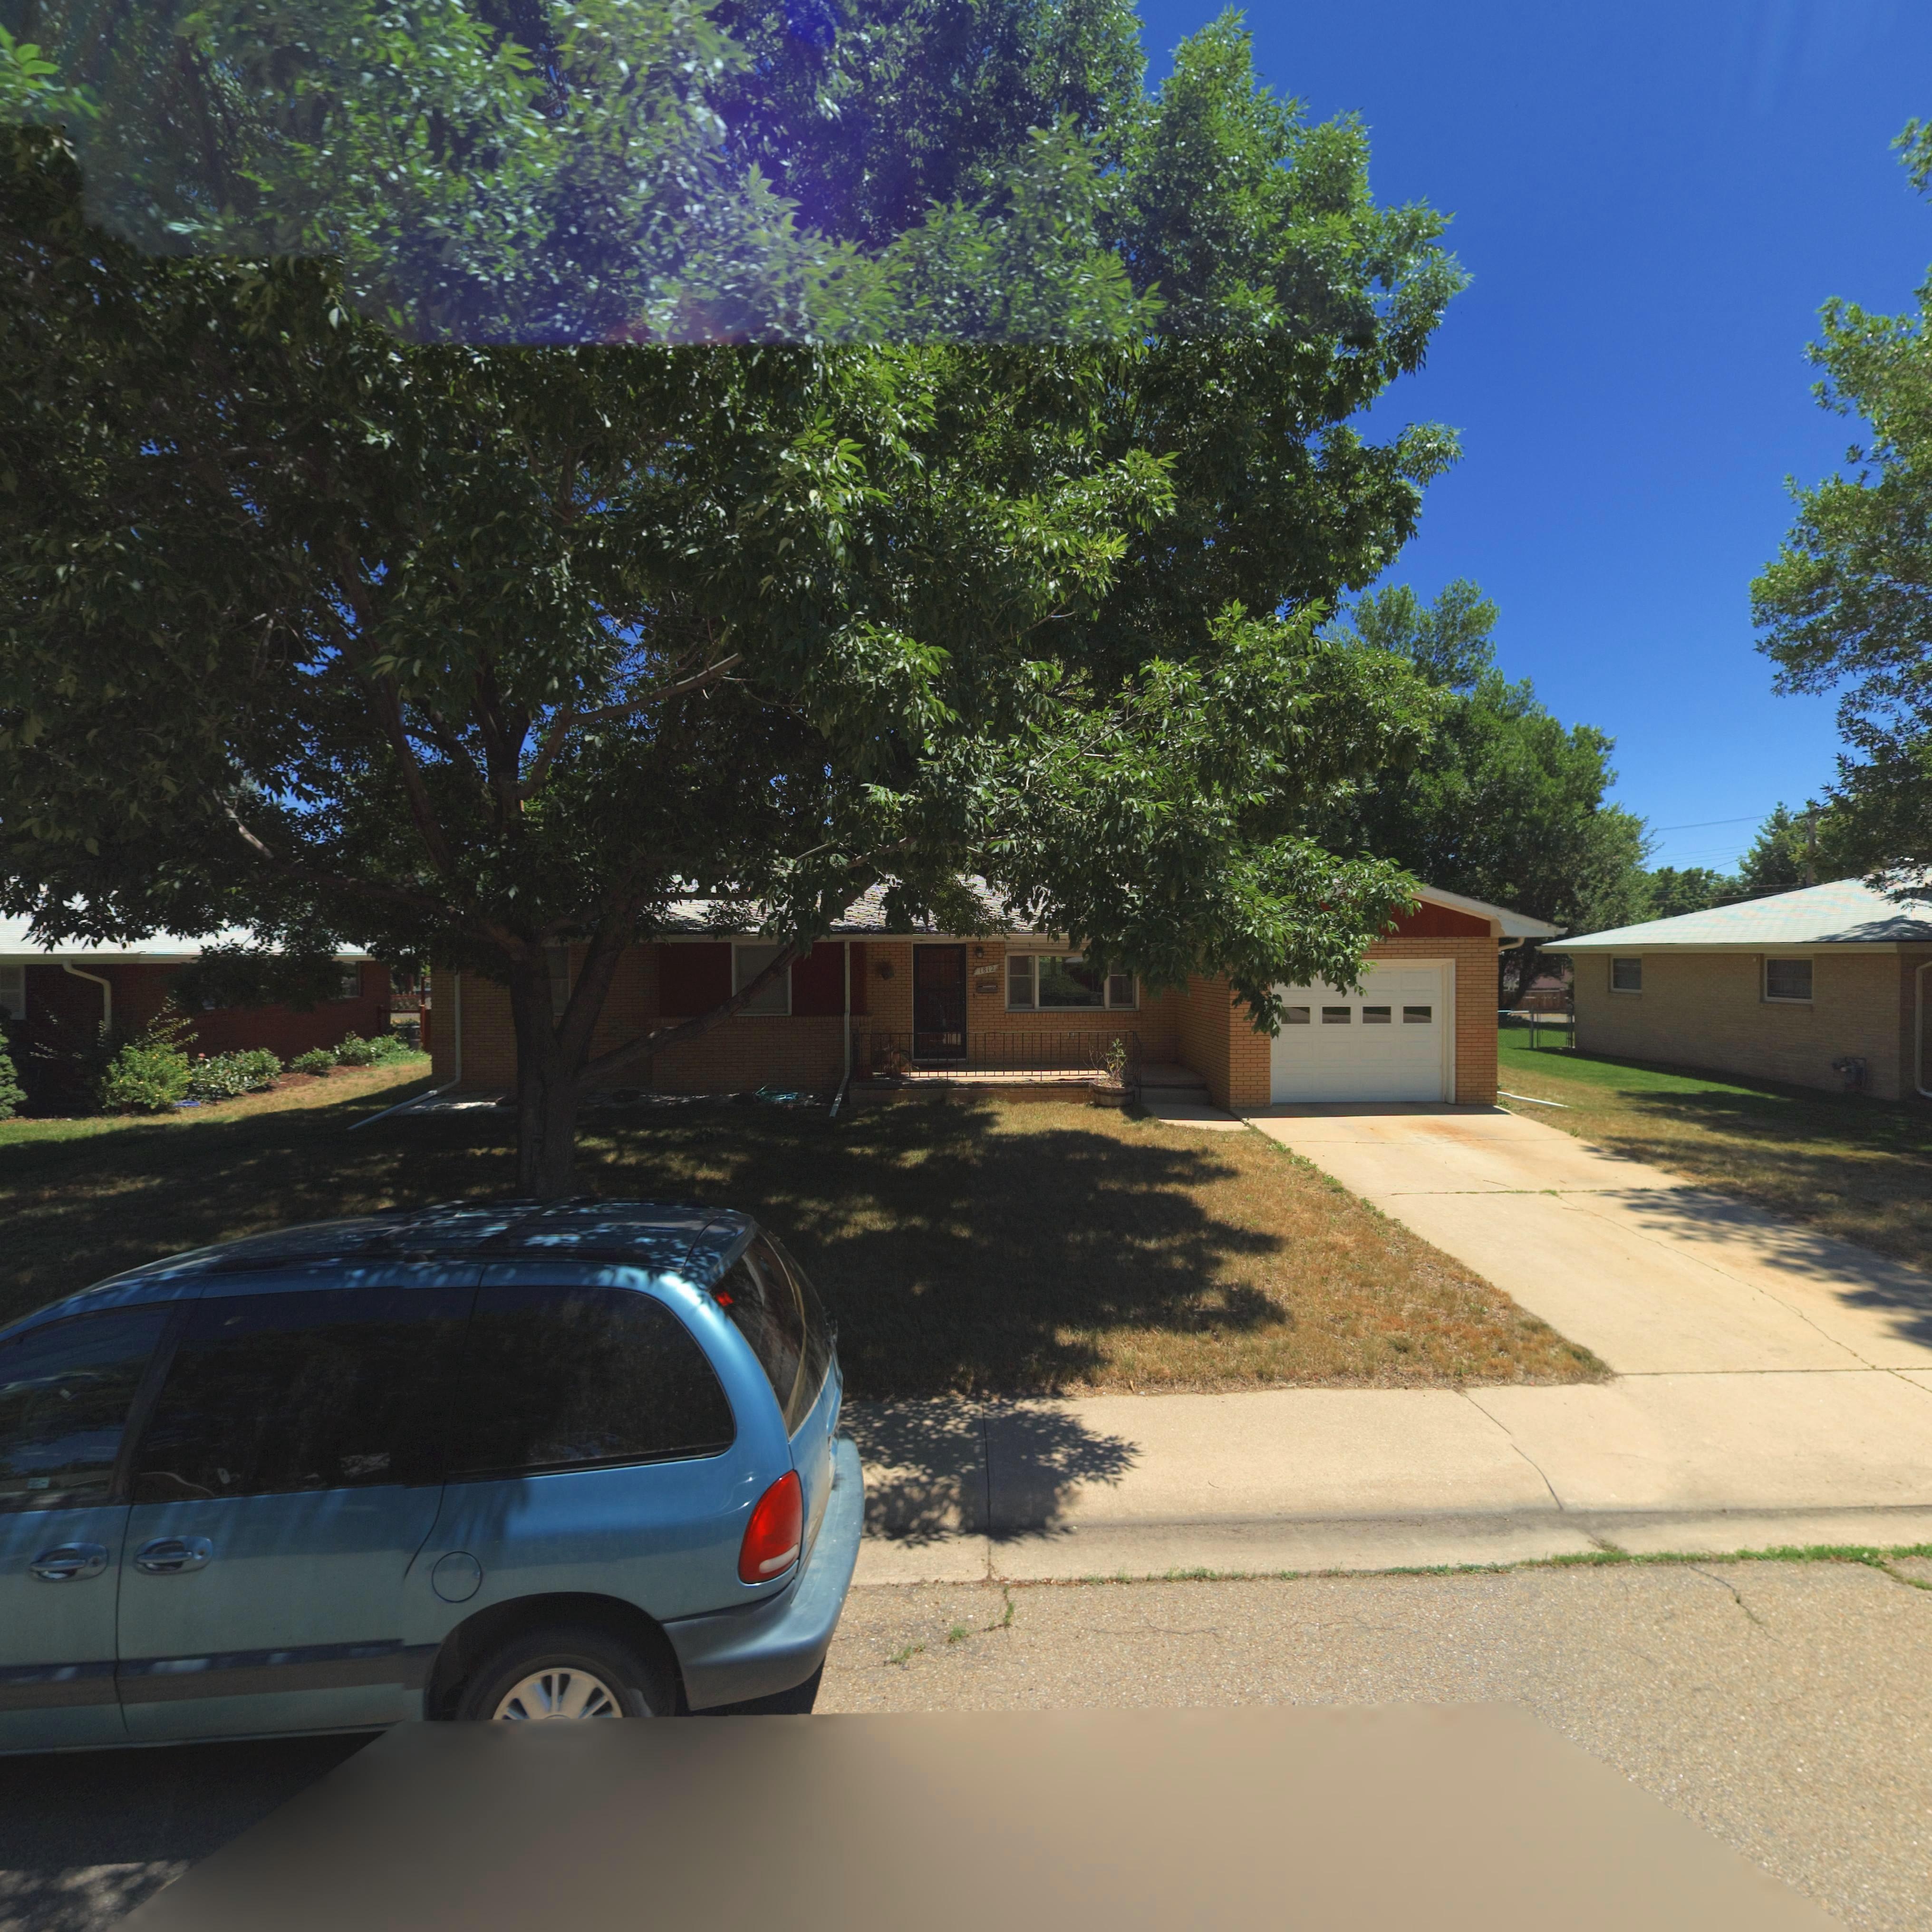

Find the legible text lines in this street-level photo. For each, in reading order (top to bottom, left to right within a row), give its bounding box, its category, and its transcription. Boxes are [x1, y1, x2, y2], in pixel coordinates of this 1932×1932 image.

[979, 965, 995, 974] StreetNumber: 1812